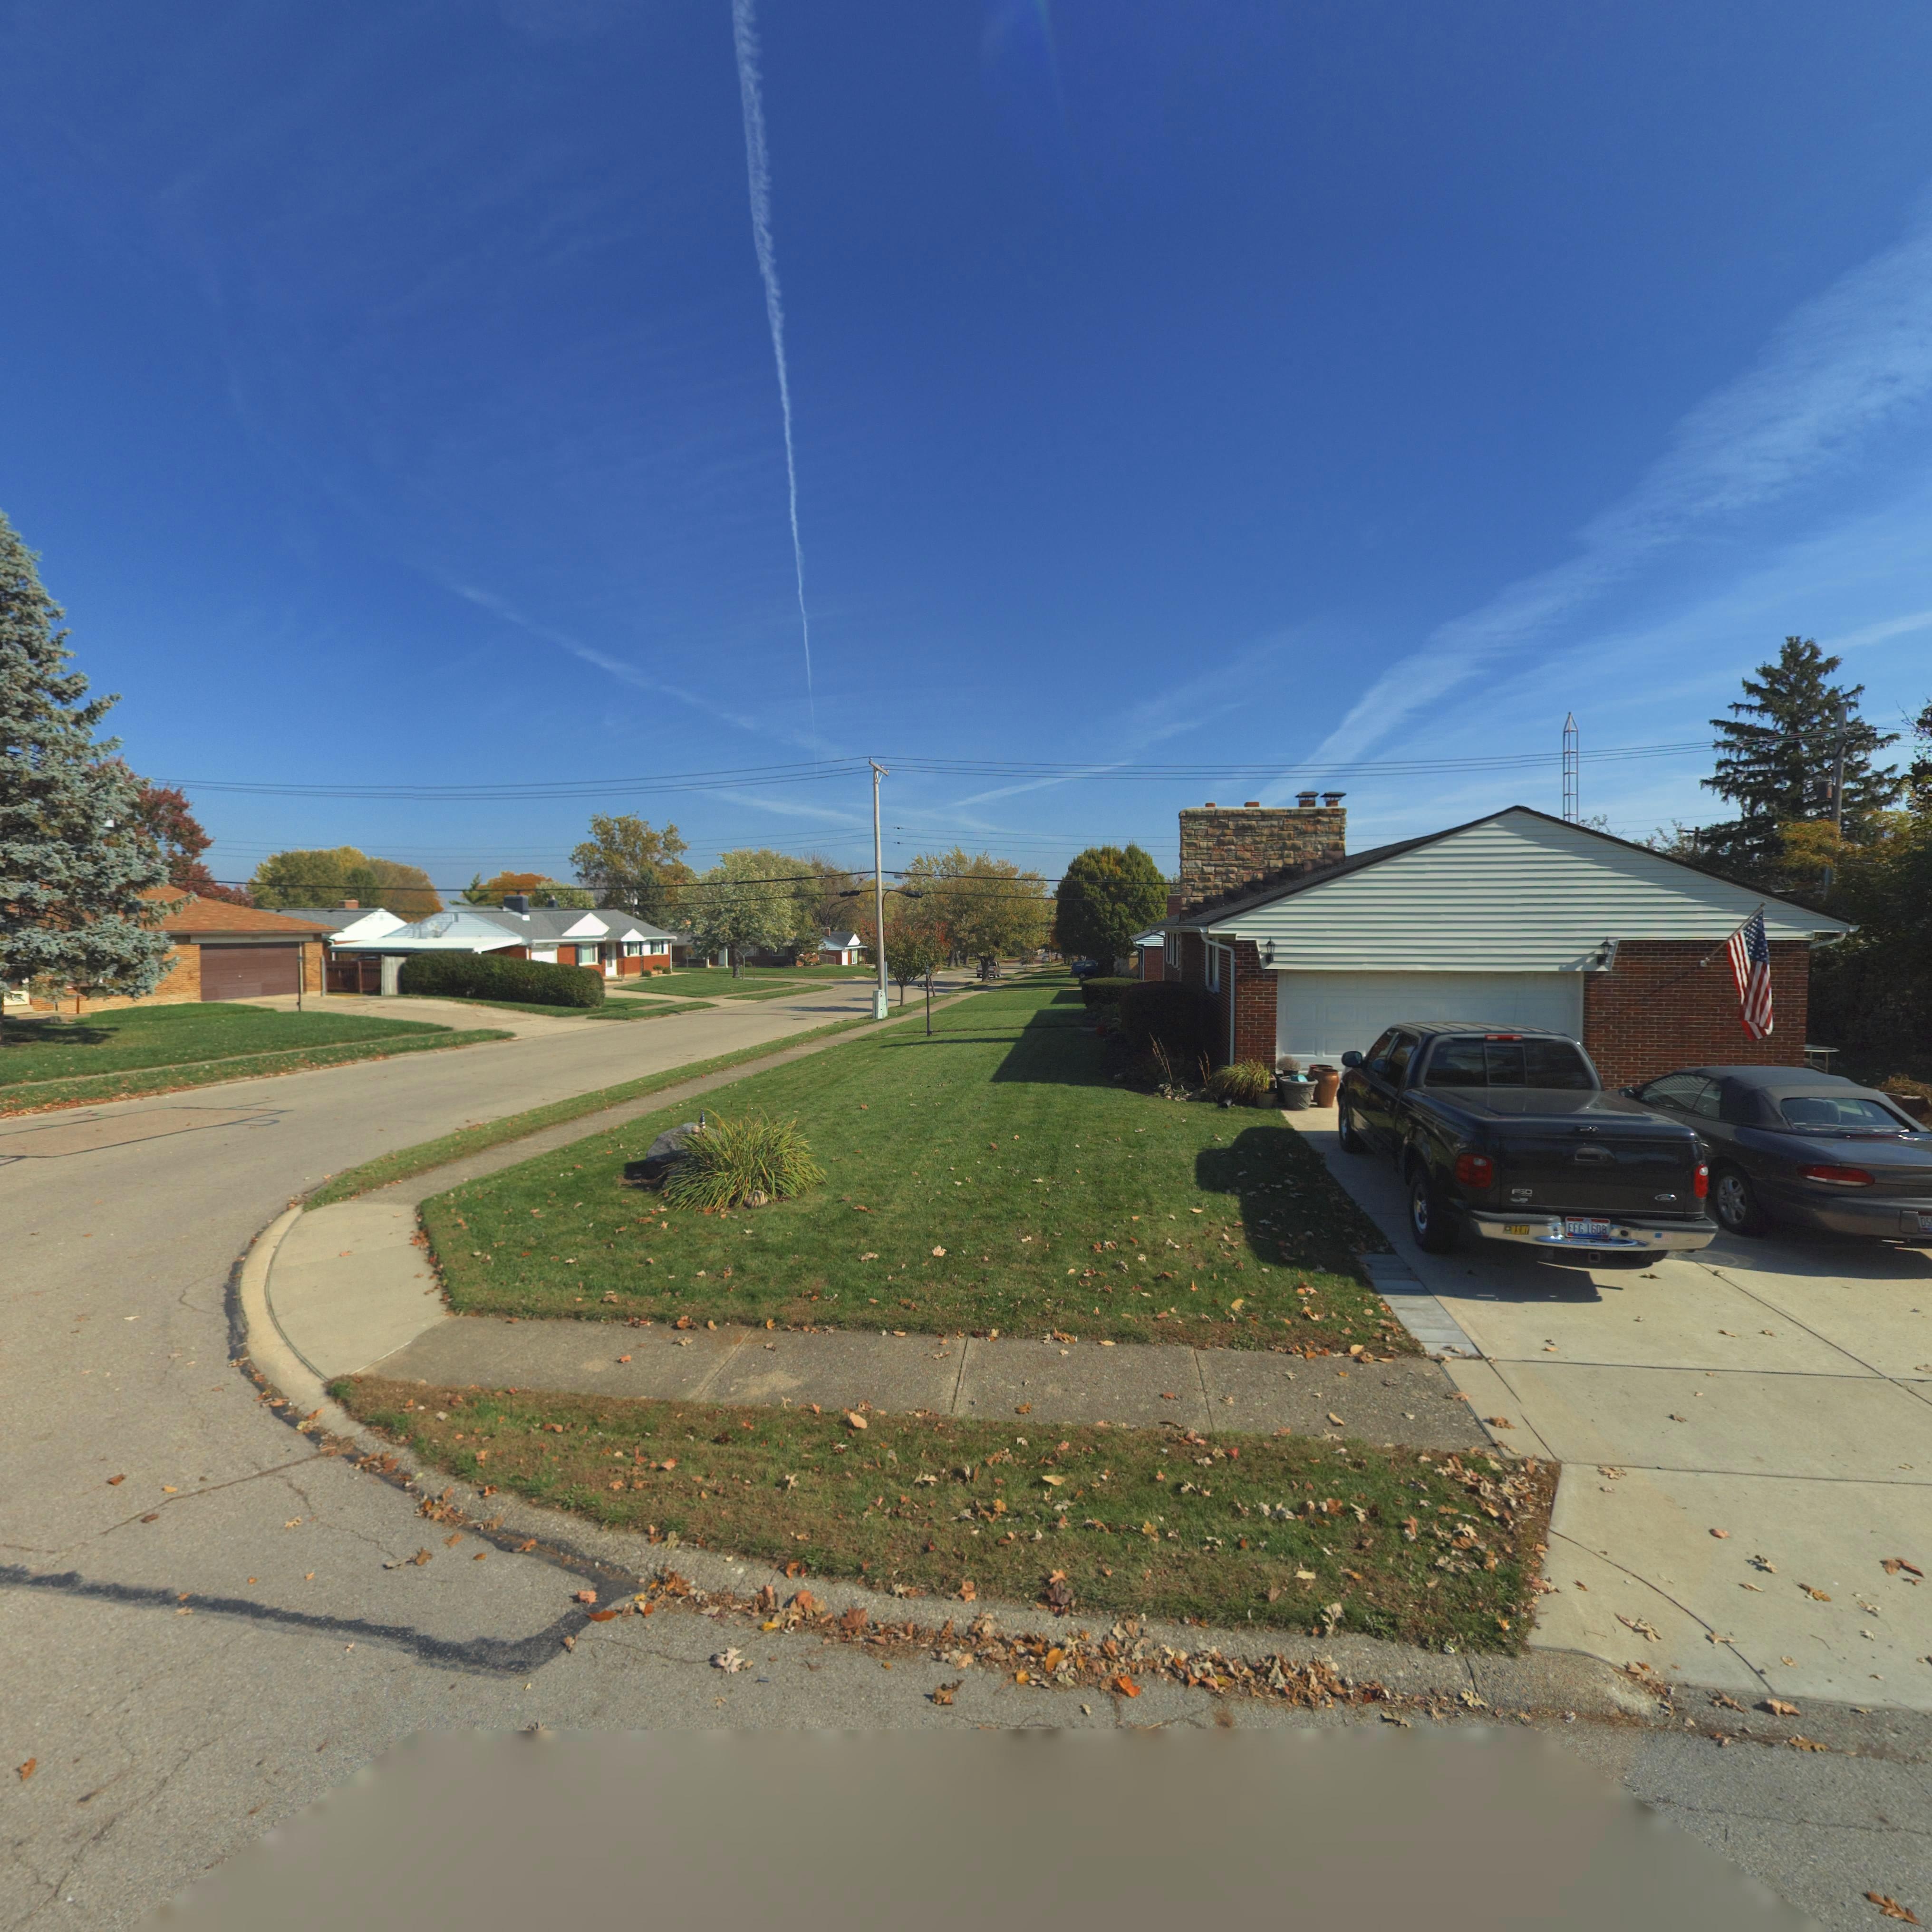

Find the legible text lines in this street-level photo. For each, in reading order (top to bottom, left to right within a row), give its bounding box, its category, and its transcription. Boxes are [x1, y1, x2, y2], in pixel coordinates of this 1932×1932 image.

[1567, 1221, 1608, 1236] None: EFG 1608